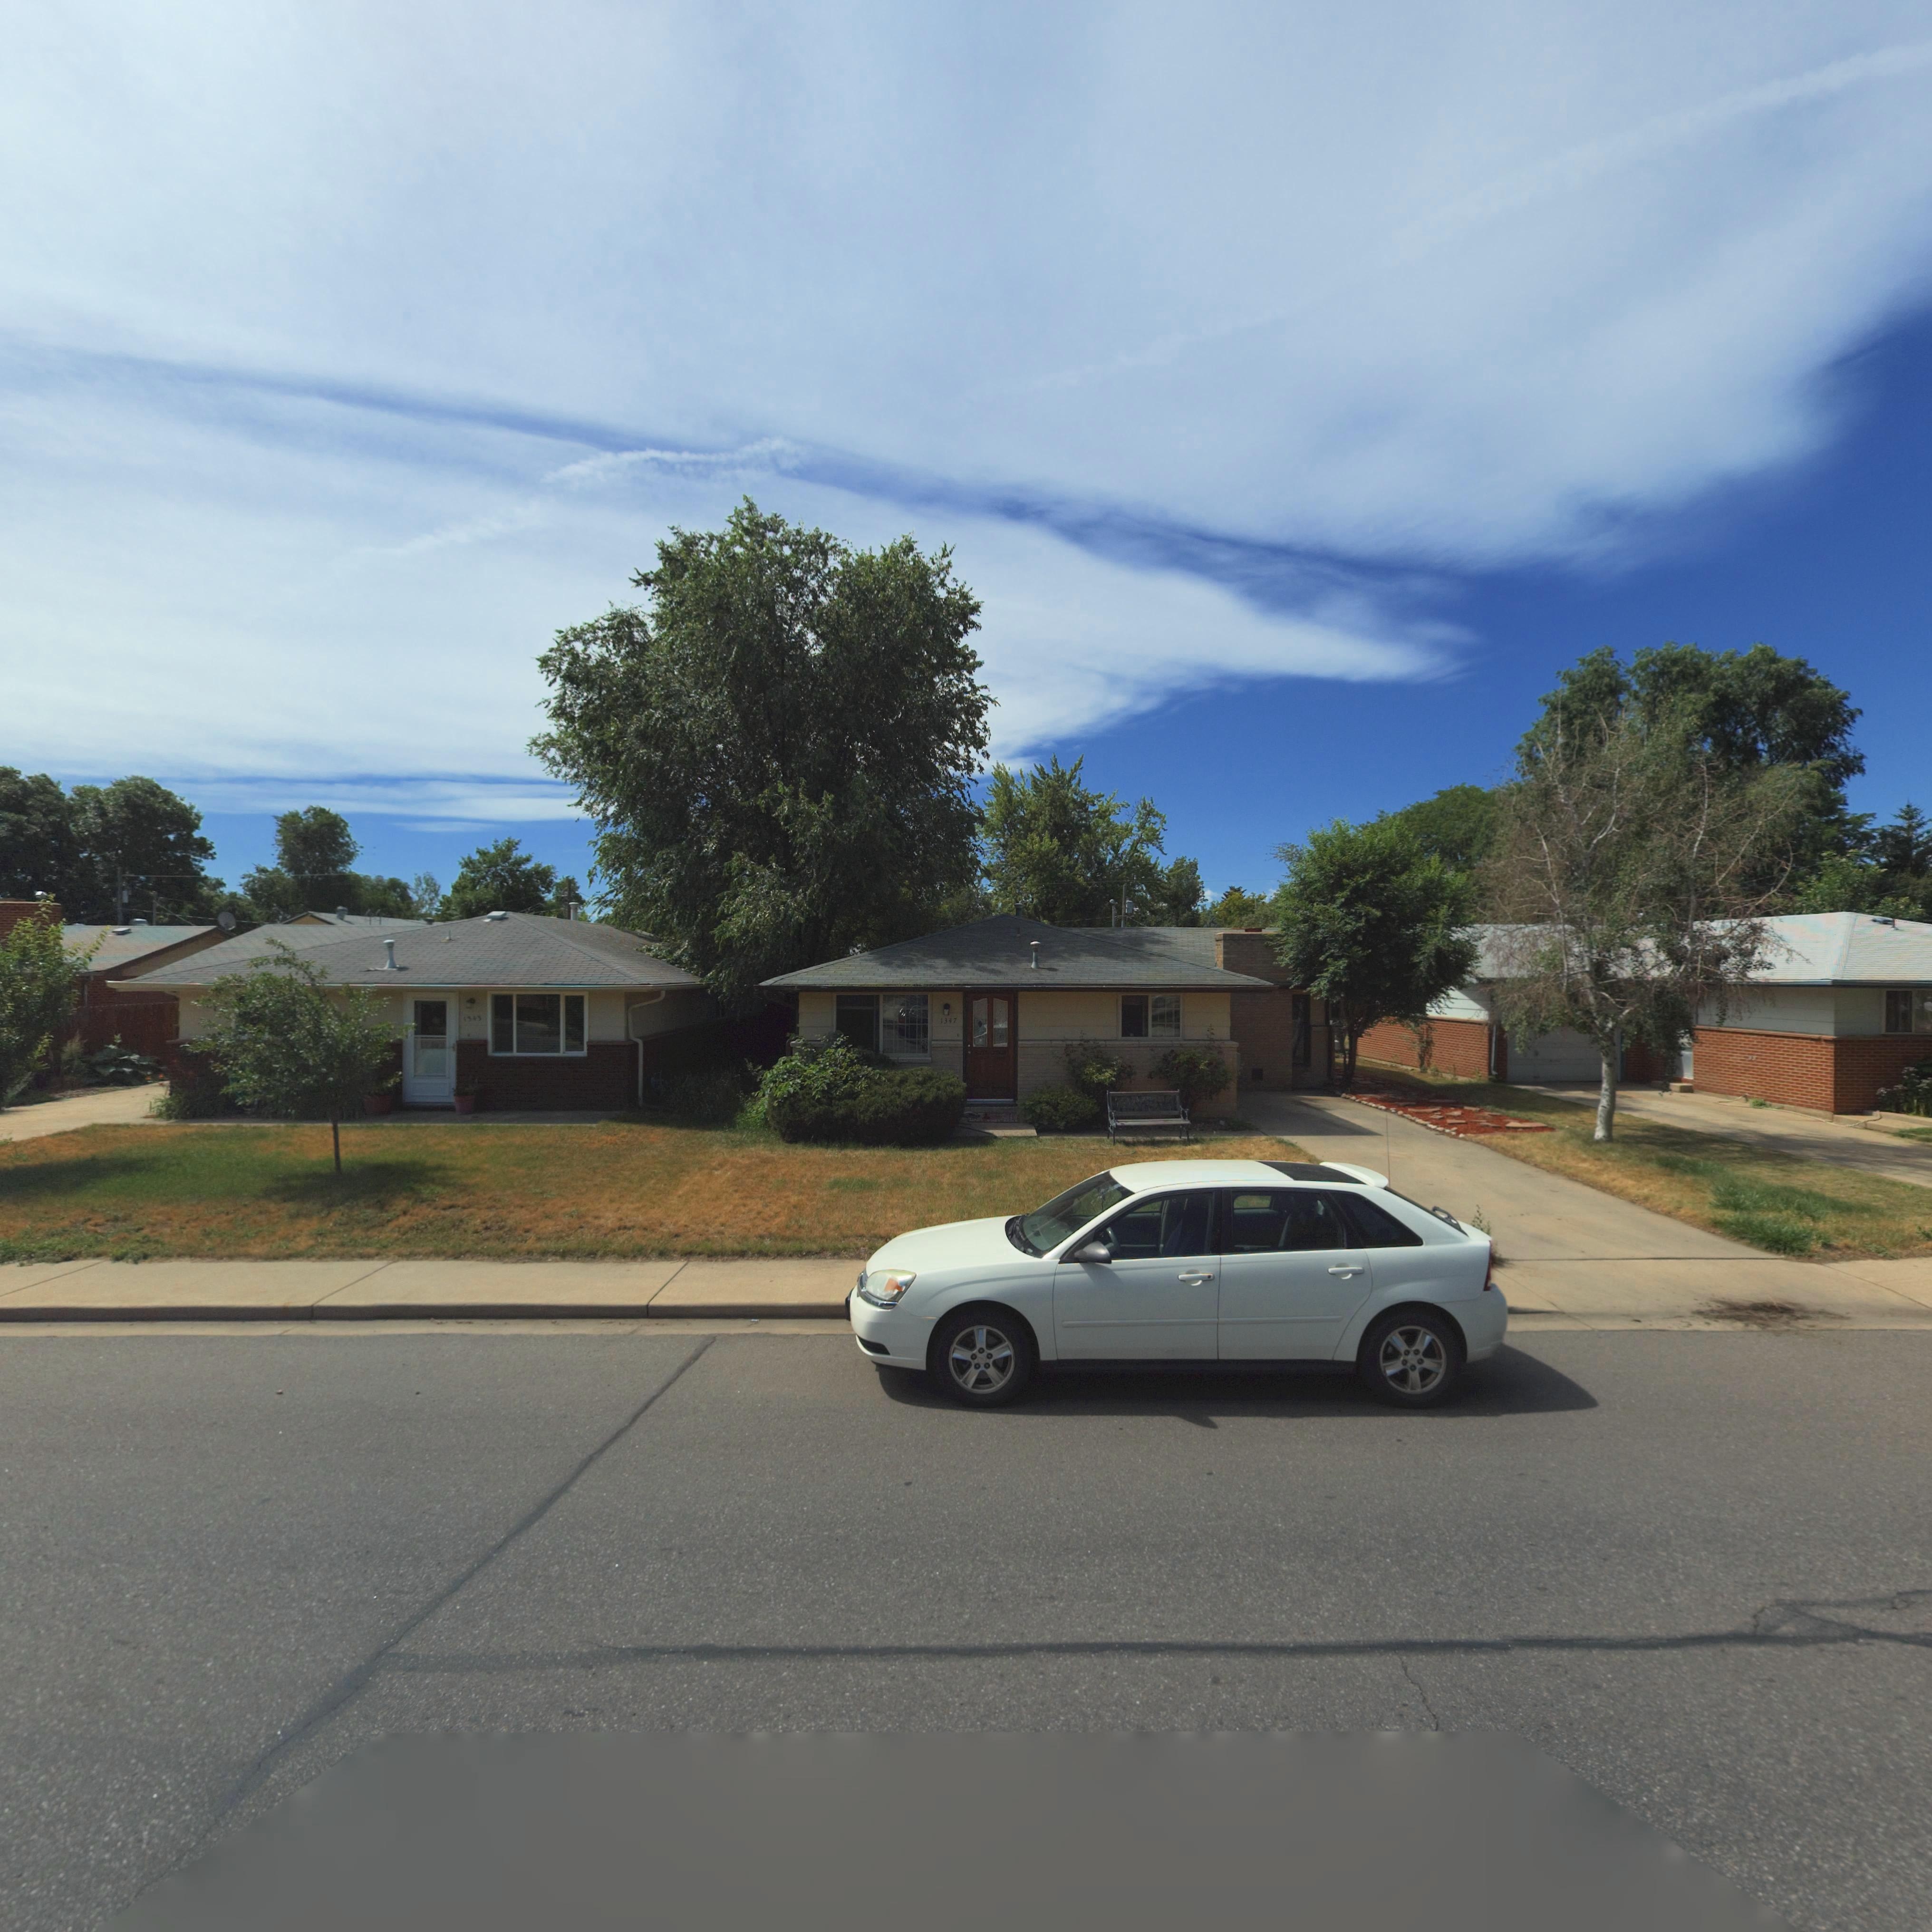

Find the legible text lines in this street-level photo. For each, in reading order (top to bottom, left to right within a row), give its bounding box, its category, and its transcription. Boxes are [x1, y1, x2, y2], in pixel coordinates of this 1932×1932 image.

[463, 1014, 482, 1022] StreetNumber: 1343
[940, 1017, 957, 1024] StreetNumber: 1347